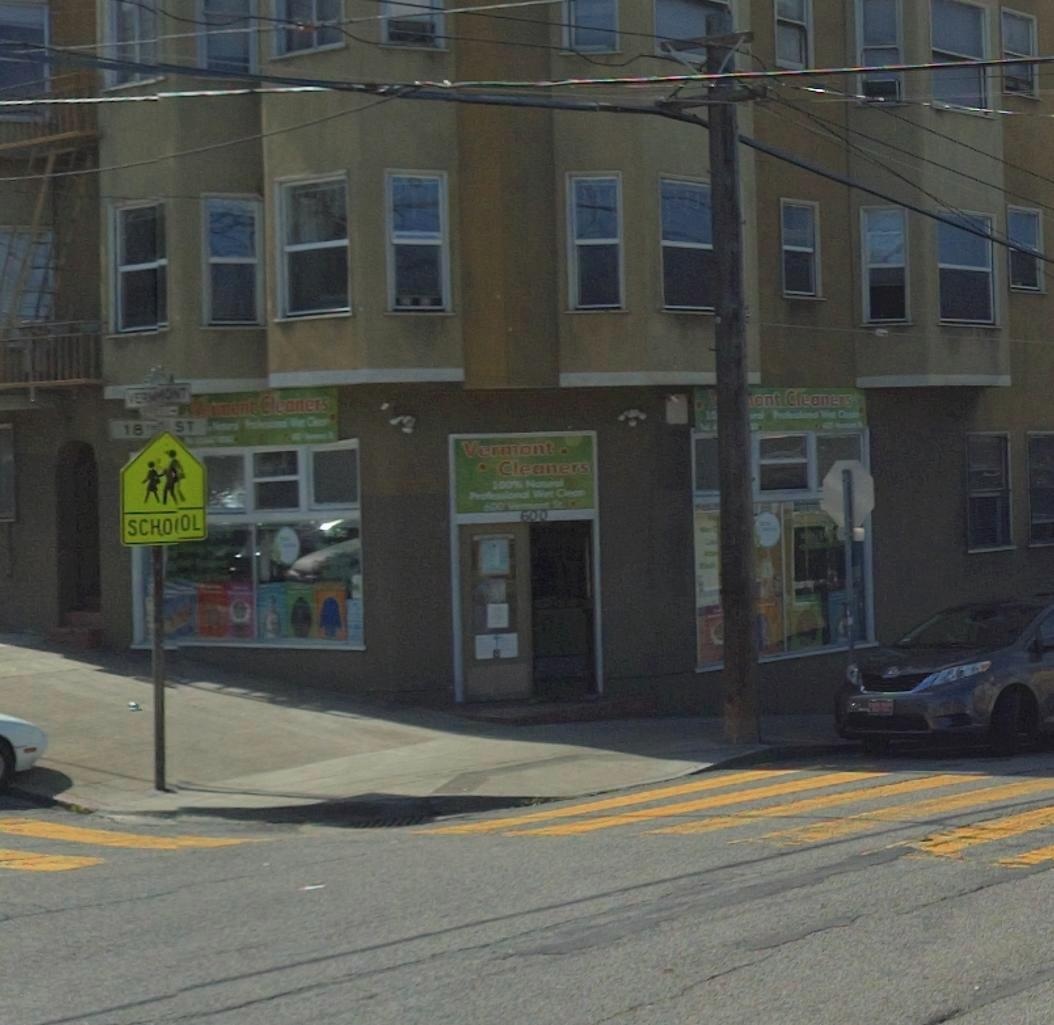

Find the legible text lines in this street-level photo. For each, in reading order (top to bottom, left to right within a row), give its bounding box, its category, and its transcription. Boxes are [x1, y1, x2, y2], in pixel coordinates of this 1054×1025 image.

[124, 384, 189, 407] StreetName: VERM**ONT
[214, 392, 329, 421] BusinessName: mont Cleaners
[753, 389, 854, 410] BusinessName: ont Cleaners
[122, 421, 158, 438] StreetName: 18TH
[173, 418, 197, 434] None: ST
[458, 438, 555, 460] BusinessName: Vermont
[497, 460, 591, 479] BusinessName: Cleaners
[491, 476, 566, 491] None: 100% Natural
[531, 488, 587, 500] None: Wet Clean
[482, 499, 507, 514] StreetNumber: 600
[518, 507, 548, 524] StreetNumber: 600
[127, 512, 201, 539] None: SCHO*OL